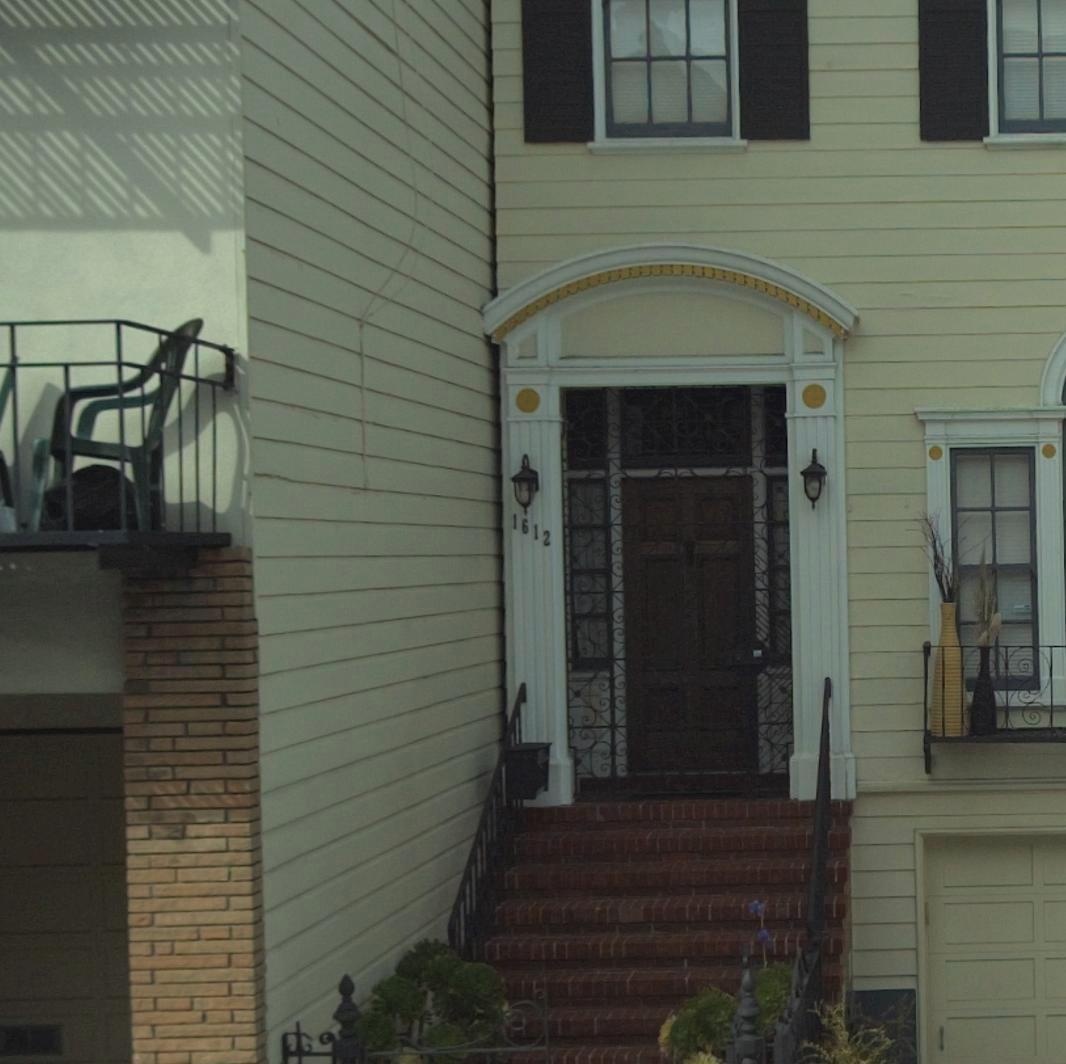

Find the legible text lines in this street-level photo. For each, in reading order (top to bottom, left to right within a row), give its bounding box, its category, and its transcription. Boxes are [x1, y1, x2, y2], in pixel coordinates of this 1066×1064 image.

[510, 510, 553, 549] StreetNumber: 1612